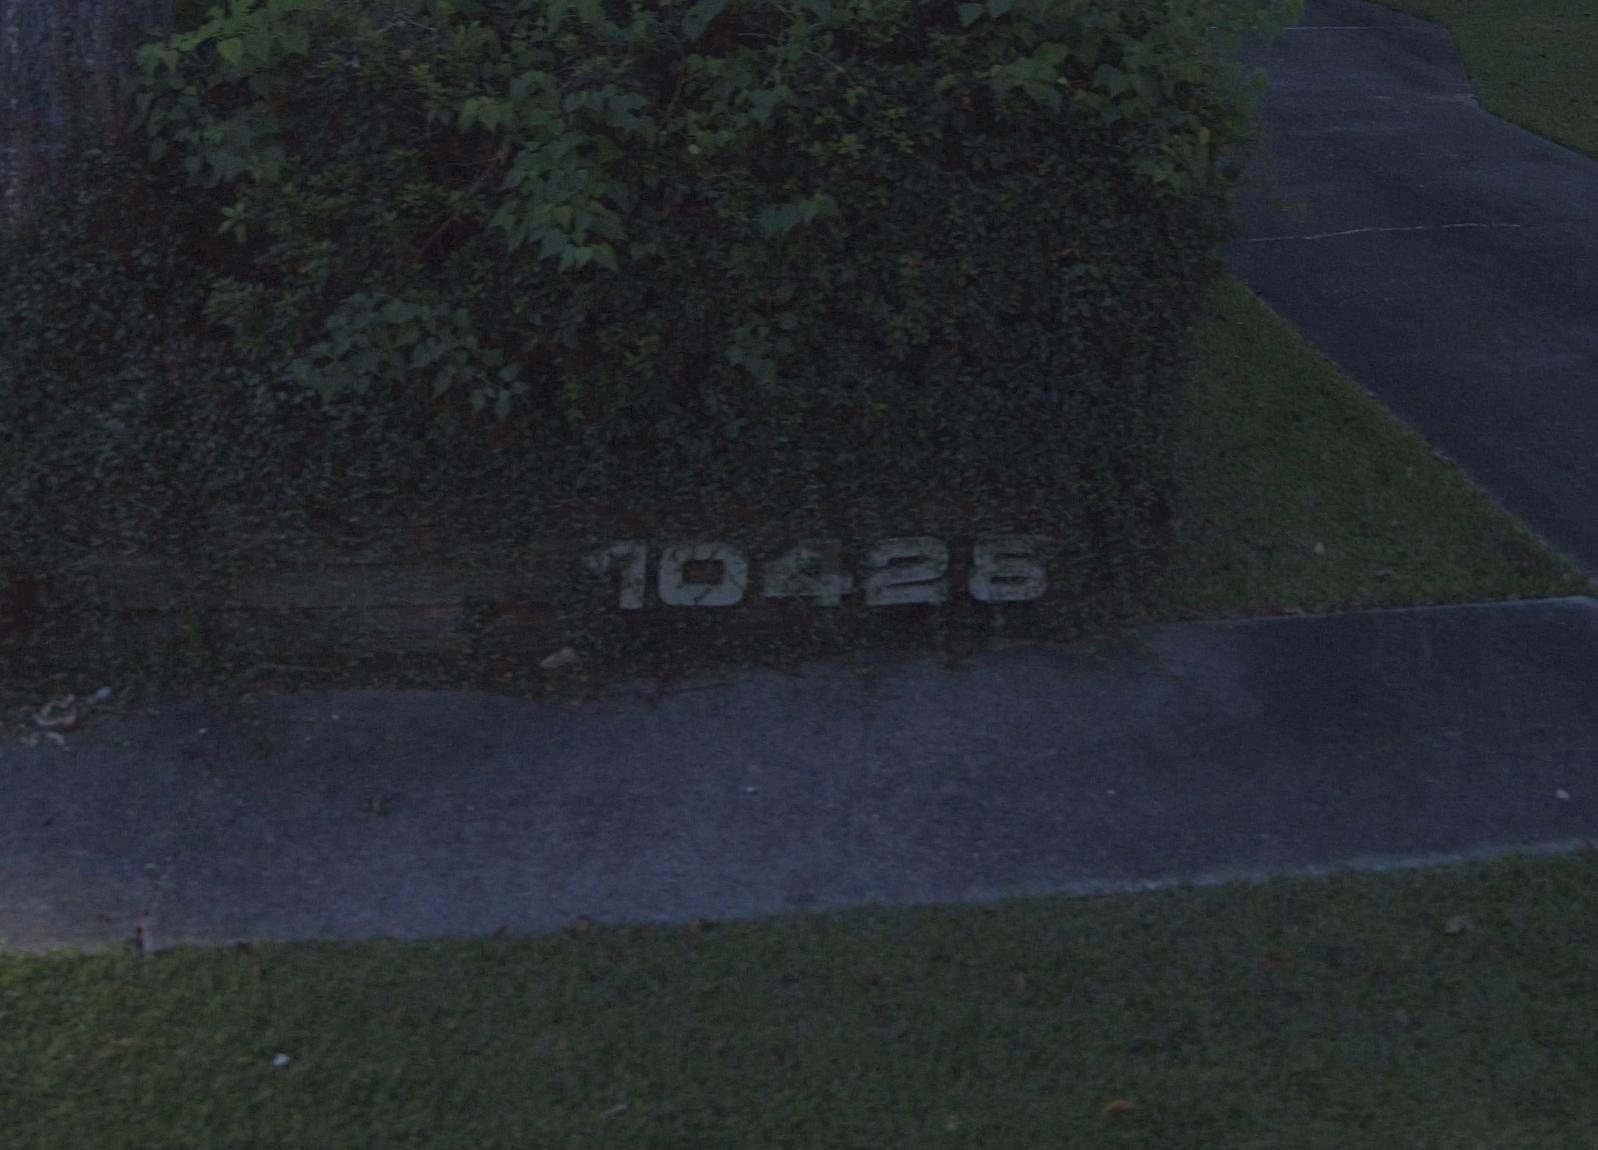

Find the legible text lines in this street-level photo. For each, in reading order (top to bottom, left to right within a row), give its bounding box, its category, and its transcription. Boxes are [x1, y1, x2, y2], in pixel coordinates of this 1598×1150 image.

[597, 532, 1052, 616] StreetNumber: 10426